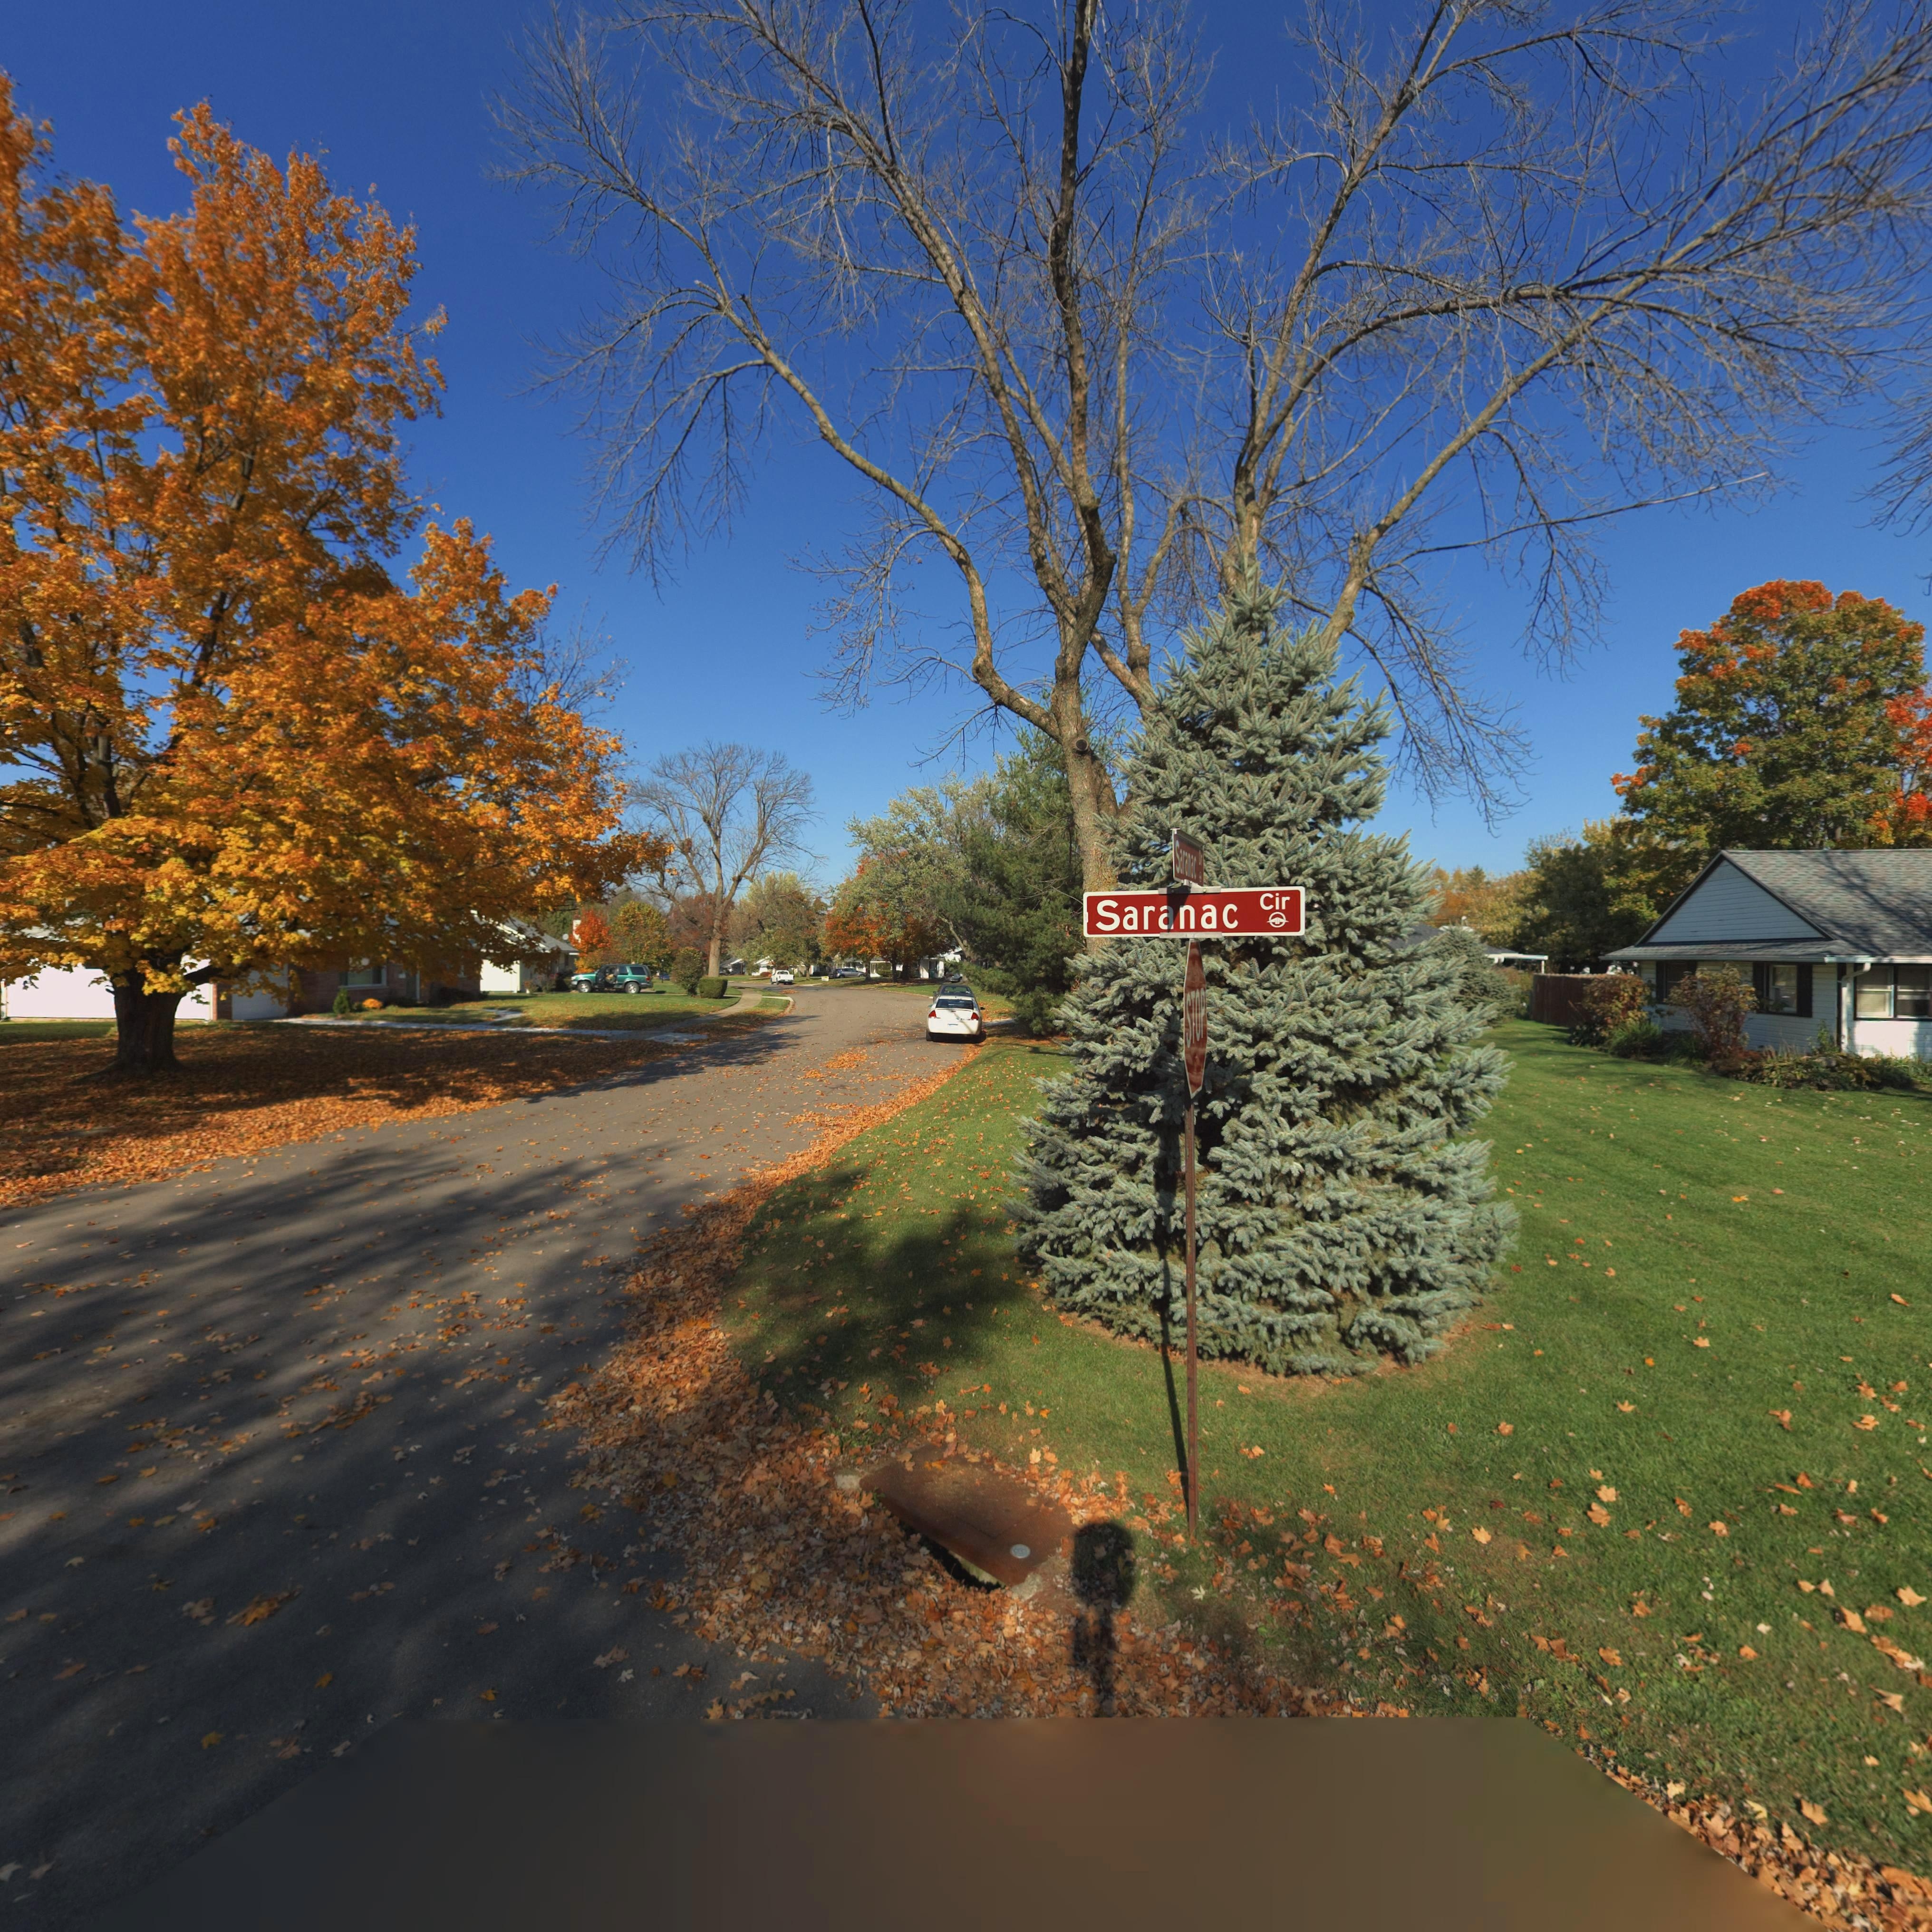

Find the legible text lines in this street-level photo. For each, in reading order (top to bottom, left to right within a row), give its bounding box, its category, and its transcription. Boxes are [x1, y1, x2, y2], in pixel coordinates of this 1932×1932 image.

[1173, 836, 1204, 883] StreetNumber: Saranac Dr
[1093, 890, 1293, 934] StreetNumber: Saranac Cir
[1184, 985, 1207, 1051] None: STOP